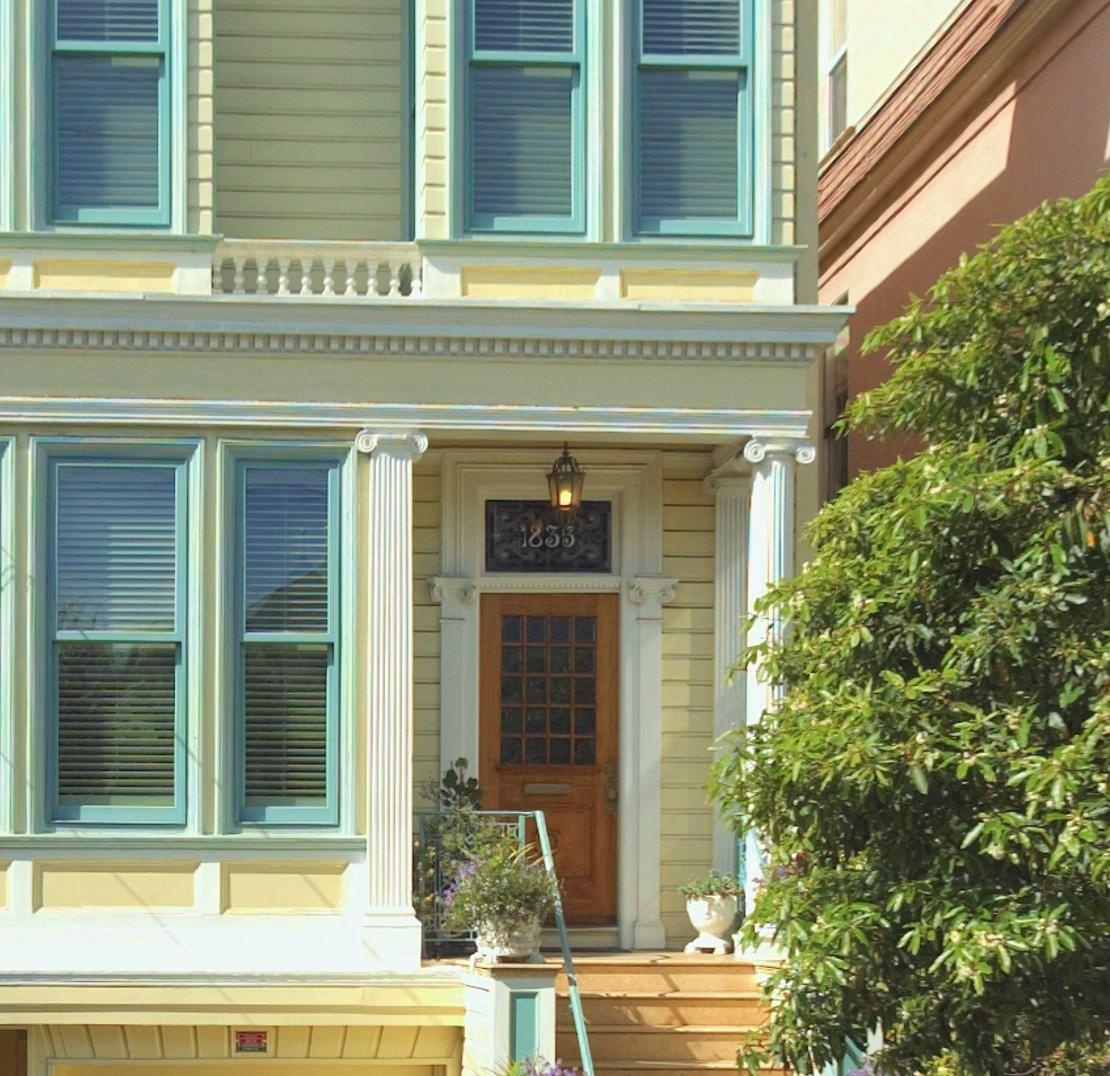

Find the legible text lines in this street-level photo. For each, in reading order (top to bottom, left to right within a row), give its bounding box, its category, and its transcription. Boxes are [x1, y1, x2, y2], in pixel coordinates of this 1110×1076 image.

[519, 522, 577, 550] StreetNumber: 1833